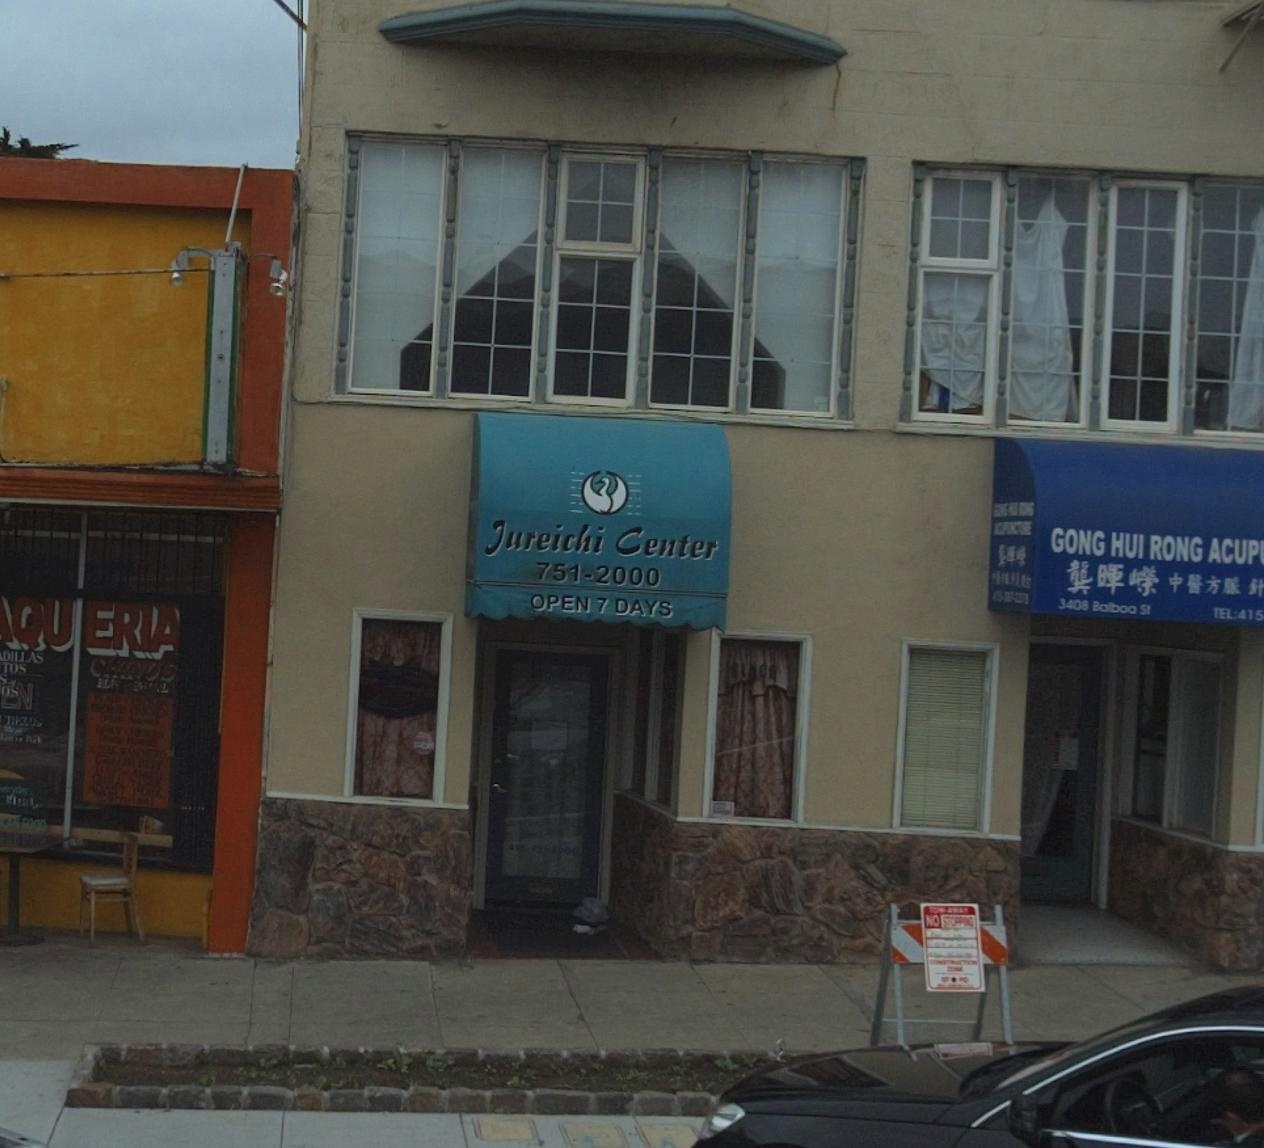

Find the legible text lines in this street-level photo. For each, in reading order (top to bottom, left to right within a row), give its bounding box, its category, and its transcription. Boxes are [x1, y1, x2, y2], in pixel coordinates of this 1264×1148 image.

[483, 518, 724, 562] BusinessName: Jureichi Center
[1048, 525, 1261, 568] BusinessName: GONG HUI RONG ACUP
[533, 559, 664, 589] None: 751-2000
[529, 591, 674, 620] None: OPEN 7 DAYS
[1056, 596, 1091, 612] StreetNumber: 3408
[1091, 599, 1152, 616] BusinessName: Balboa St
[1211, 606, 1263, 621] None: TEL:415
[9, 593, 184, 659] BusinessName: QUERIA
[0, 649, 45, 665] None: DILLAS
[1, 661, 29, 675] None: TUS
[88, 657, 181, 684] None: CHINOS
[730, 661, 777, 681] None: SINCE
[928, 905, 971, 913] None: TOW AWAY
[924, 913, 976, 929] None: NO STOPPING